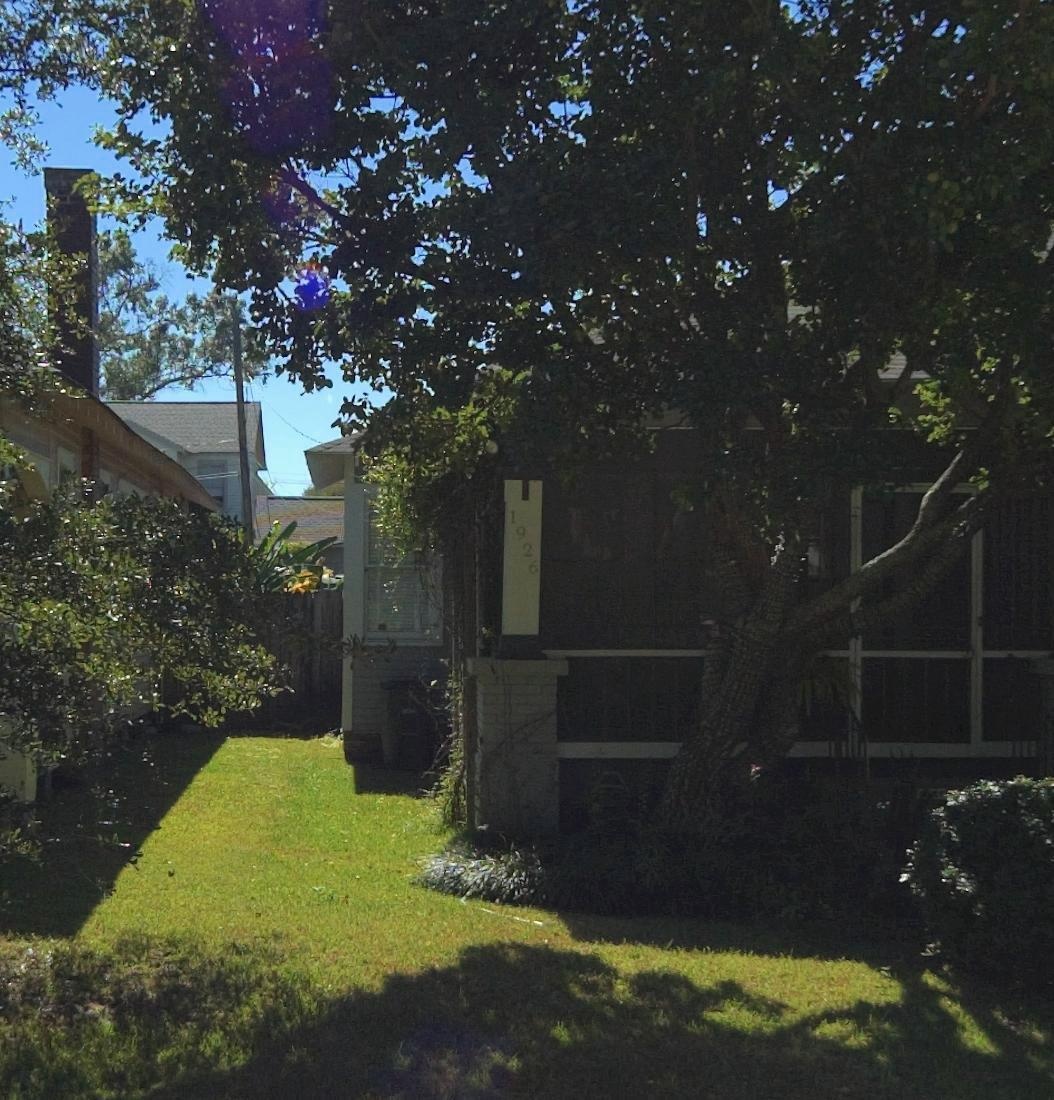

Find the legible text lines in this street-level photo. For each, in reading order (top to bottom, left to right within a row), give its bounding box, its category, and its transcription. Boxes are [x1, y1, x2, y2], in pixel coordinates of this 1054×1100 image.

[508, 506, 540, 576] StreetNumber: 1926